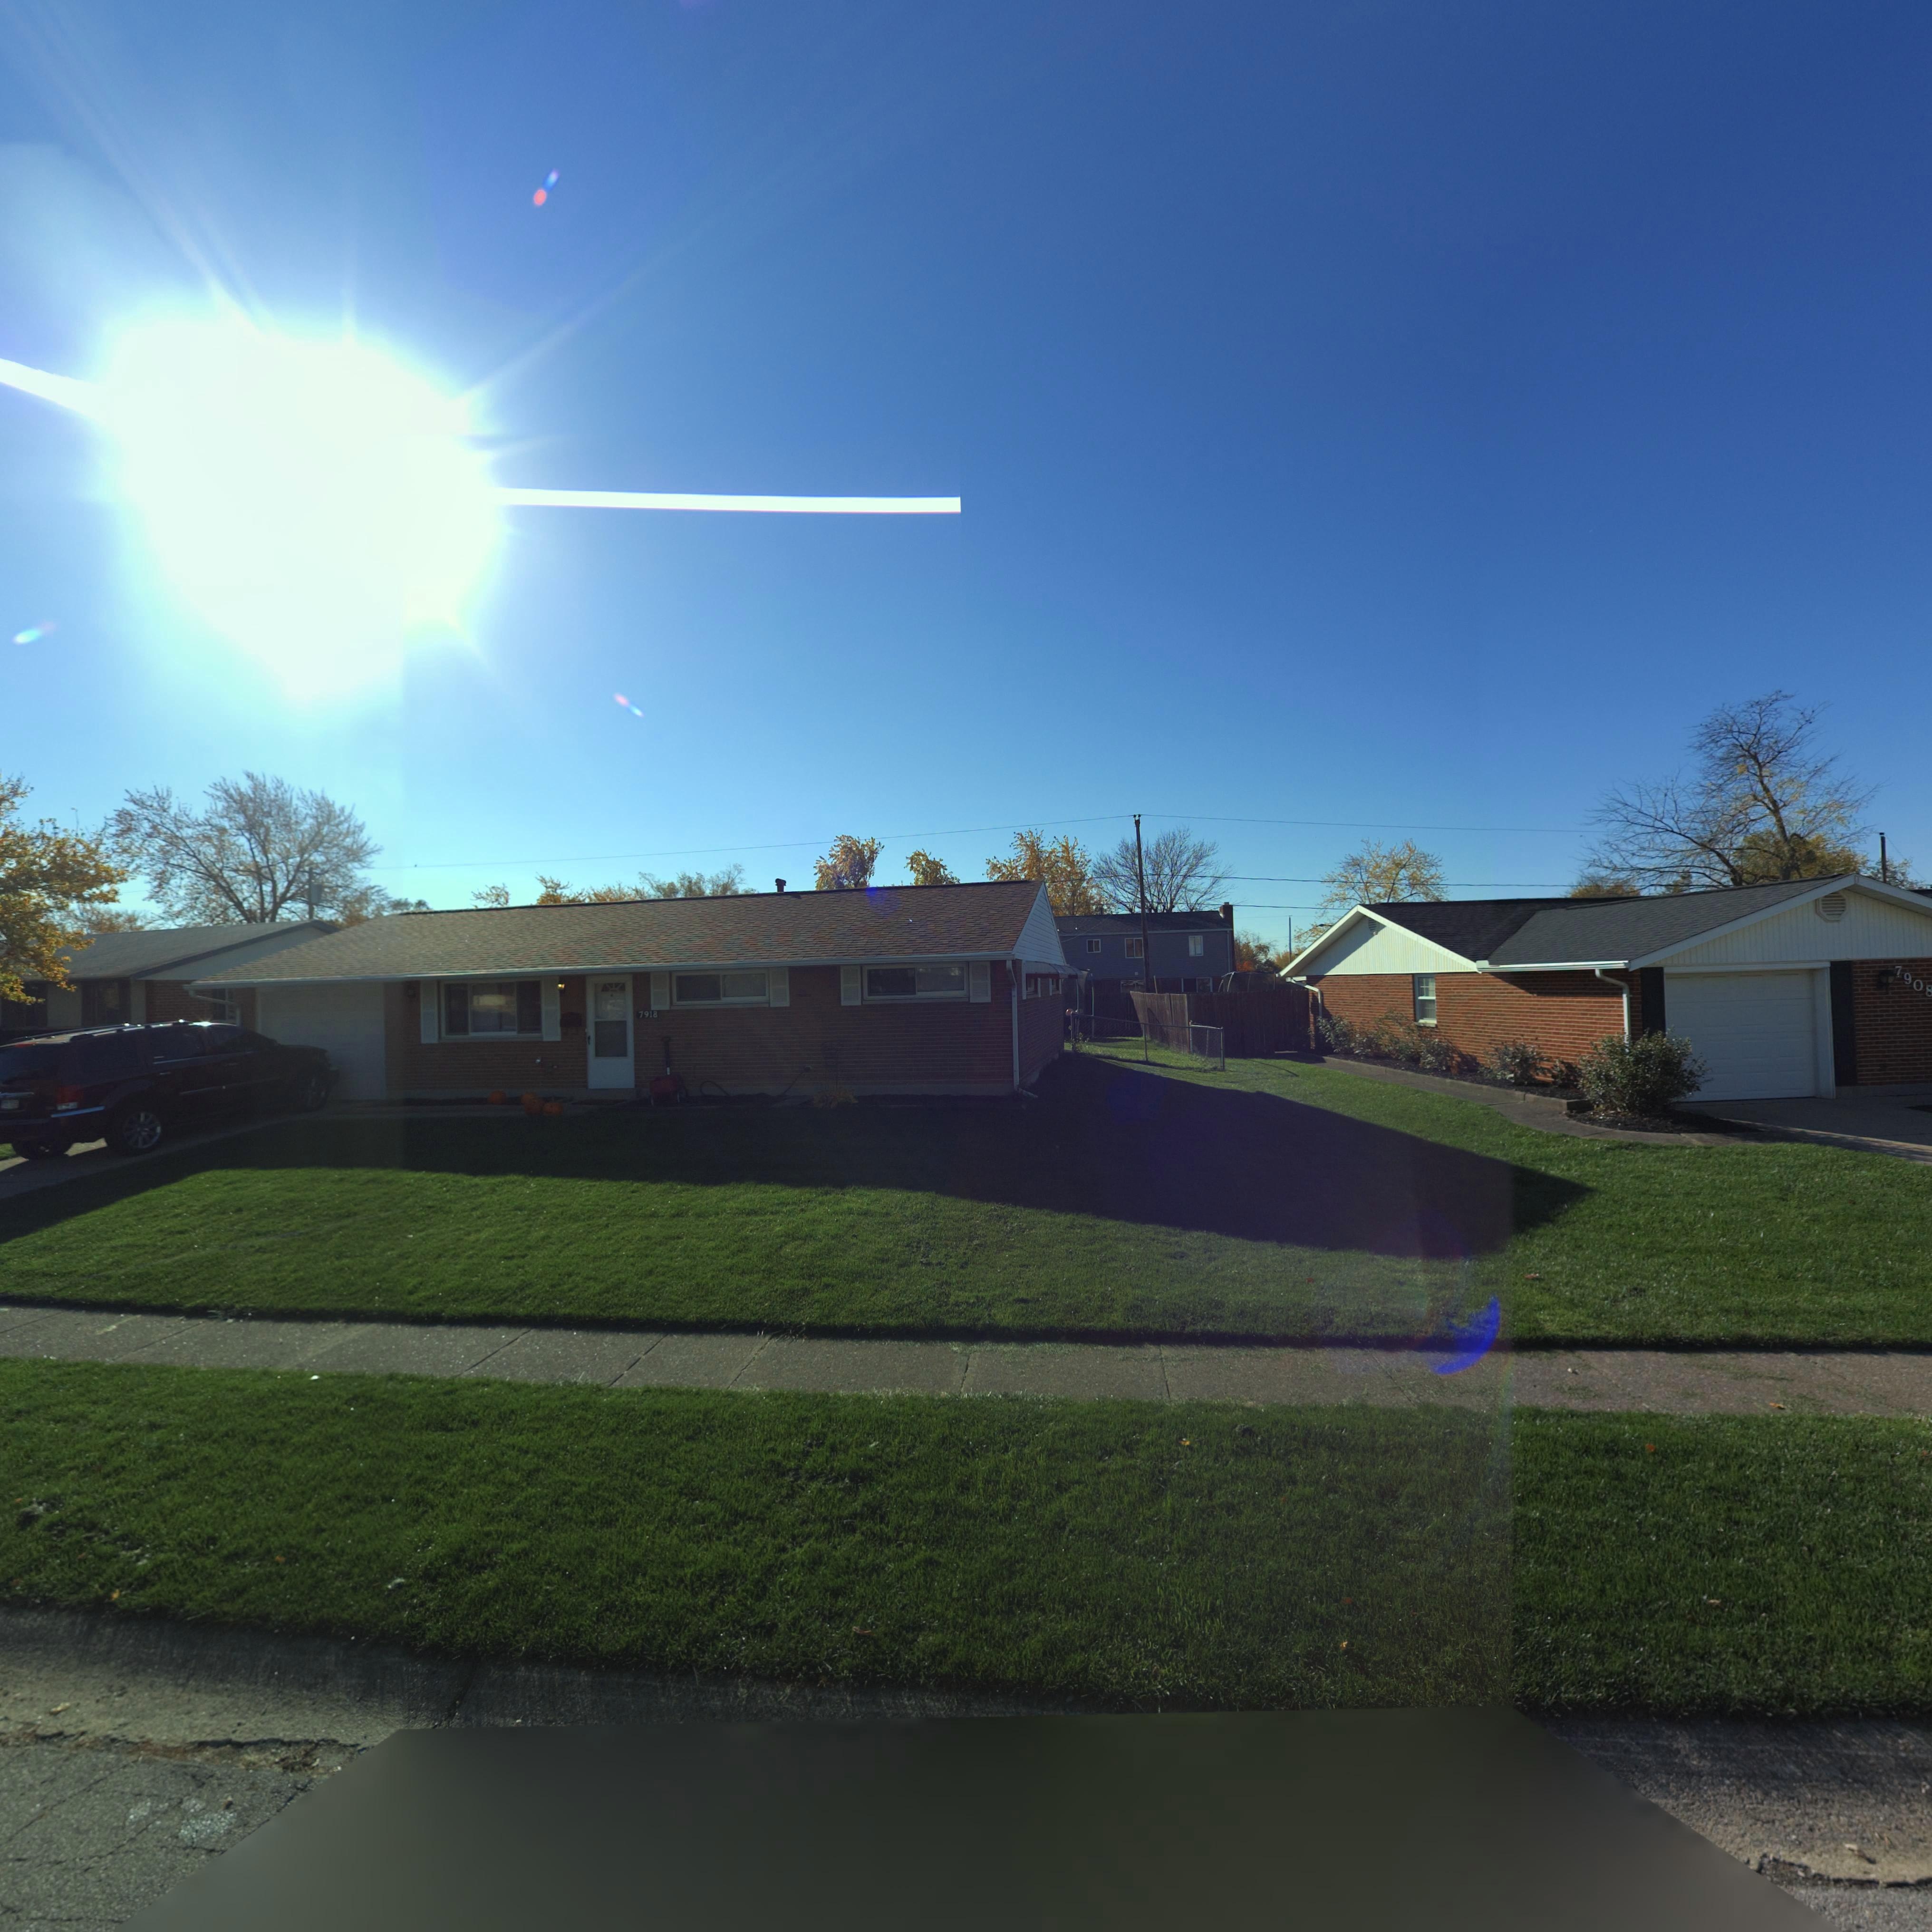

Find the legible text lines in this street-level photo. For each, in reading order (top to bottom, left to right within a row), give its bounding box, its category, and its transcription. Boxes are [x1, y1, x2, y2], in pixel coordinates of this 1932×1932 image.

[1894, 965, 1924, 993] StreetNumber: 790
[638, 1010, 659, 1018] StreetNumber: 7918